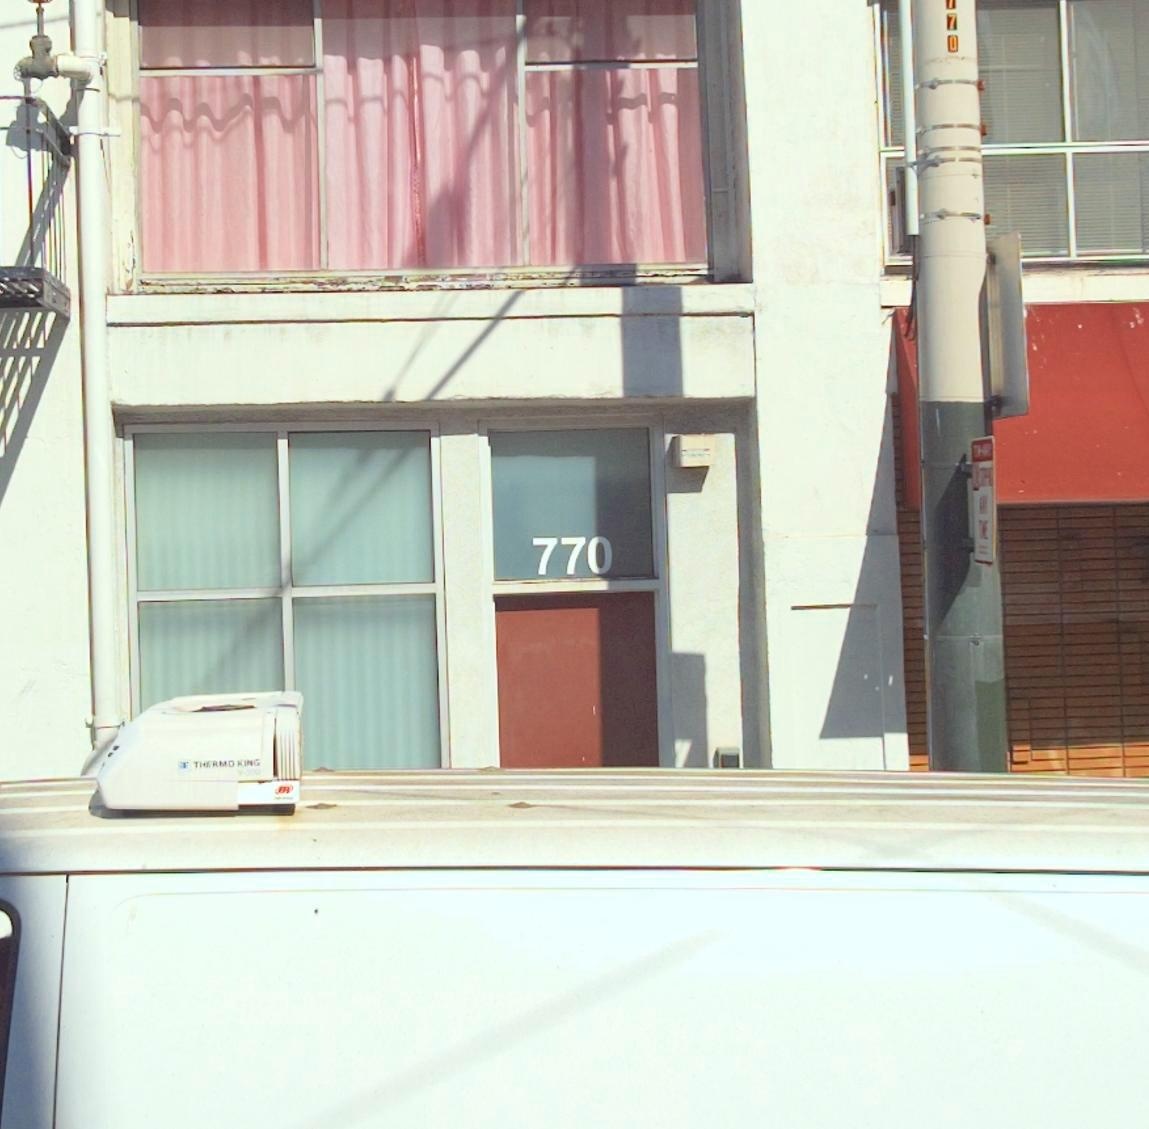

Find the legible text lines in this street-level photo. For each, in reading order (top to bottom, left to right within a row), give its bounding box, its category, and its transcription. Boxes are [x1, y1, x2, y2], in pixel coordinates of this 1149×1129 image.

[530, 534, 615, 578] StreetNumber: 770
[190, 757, 263, 770] None: THERMO KING